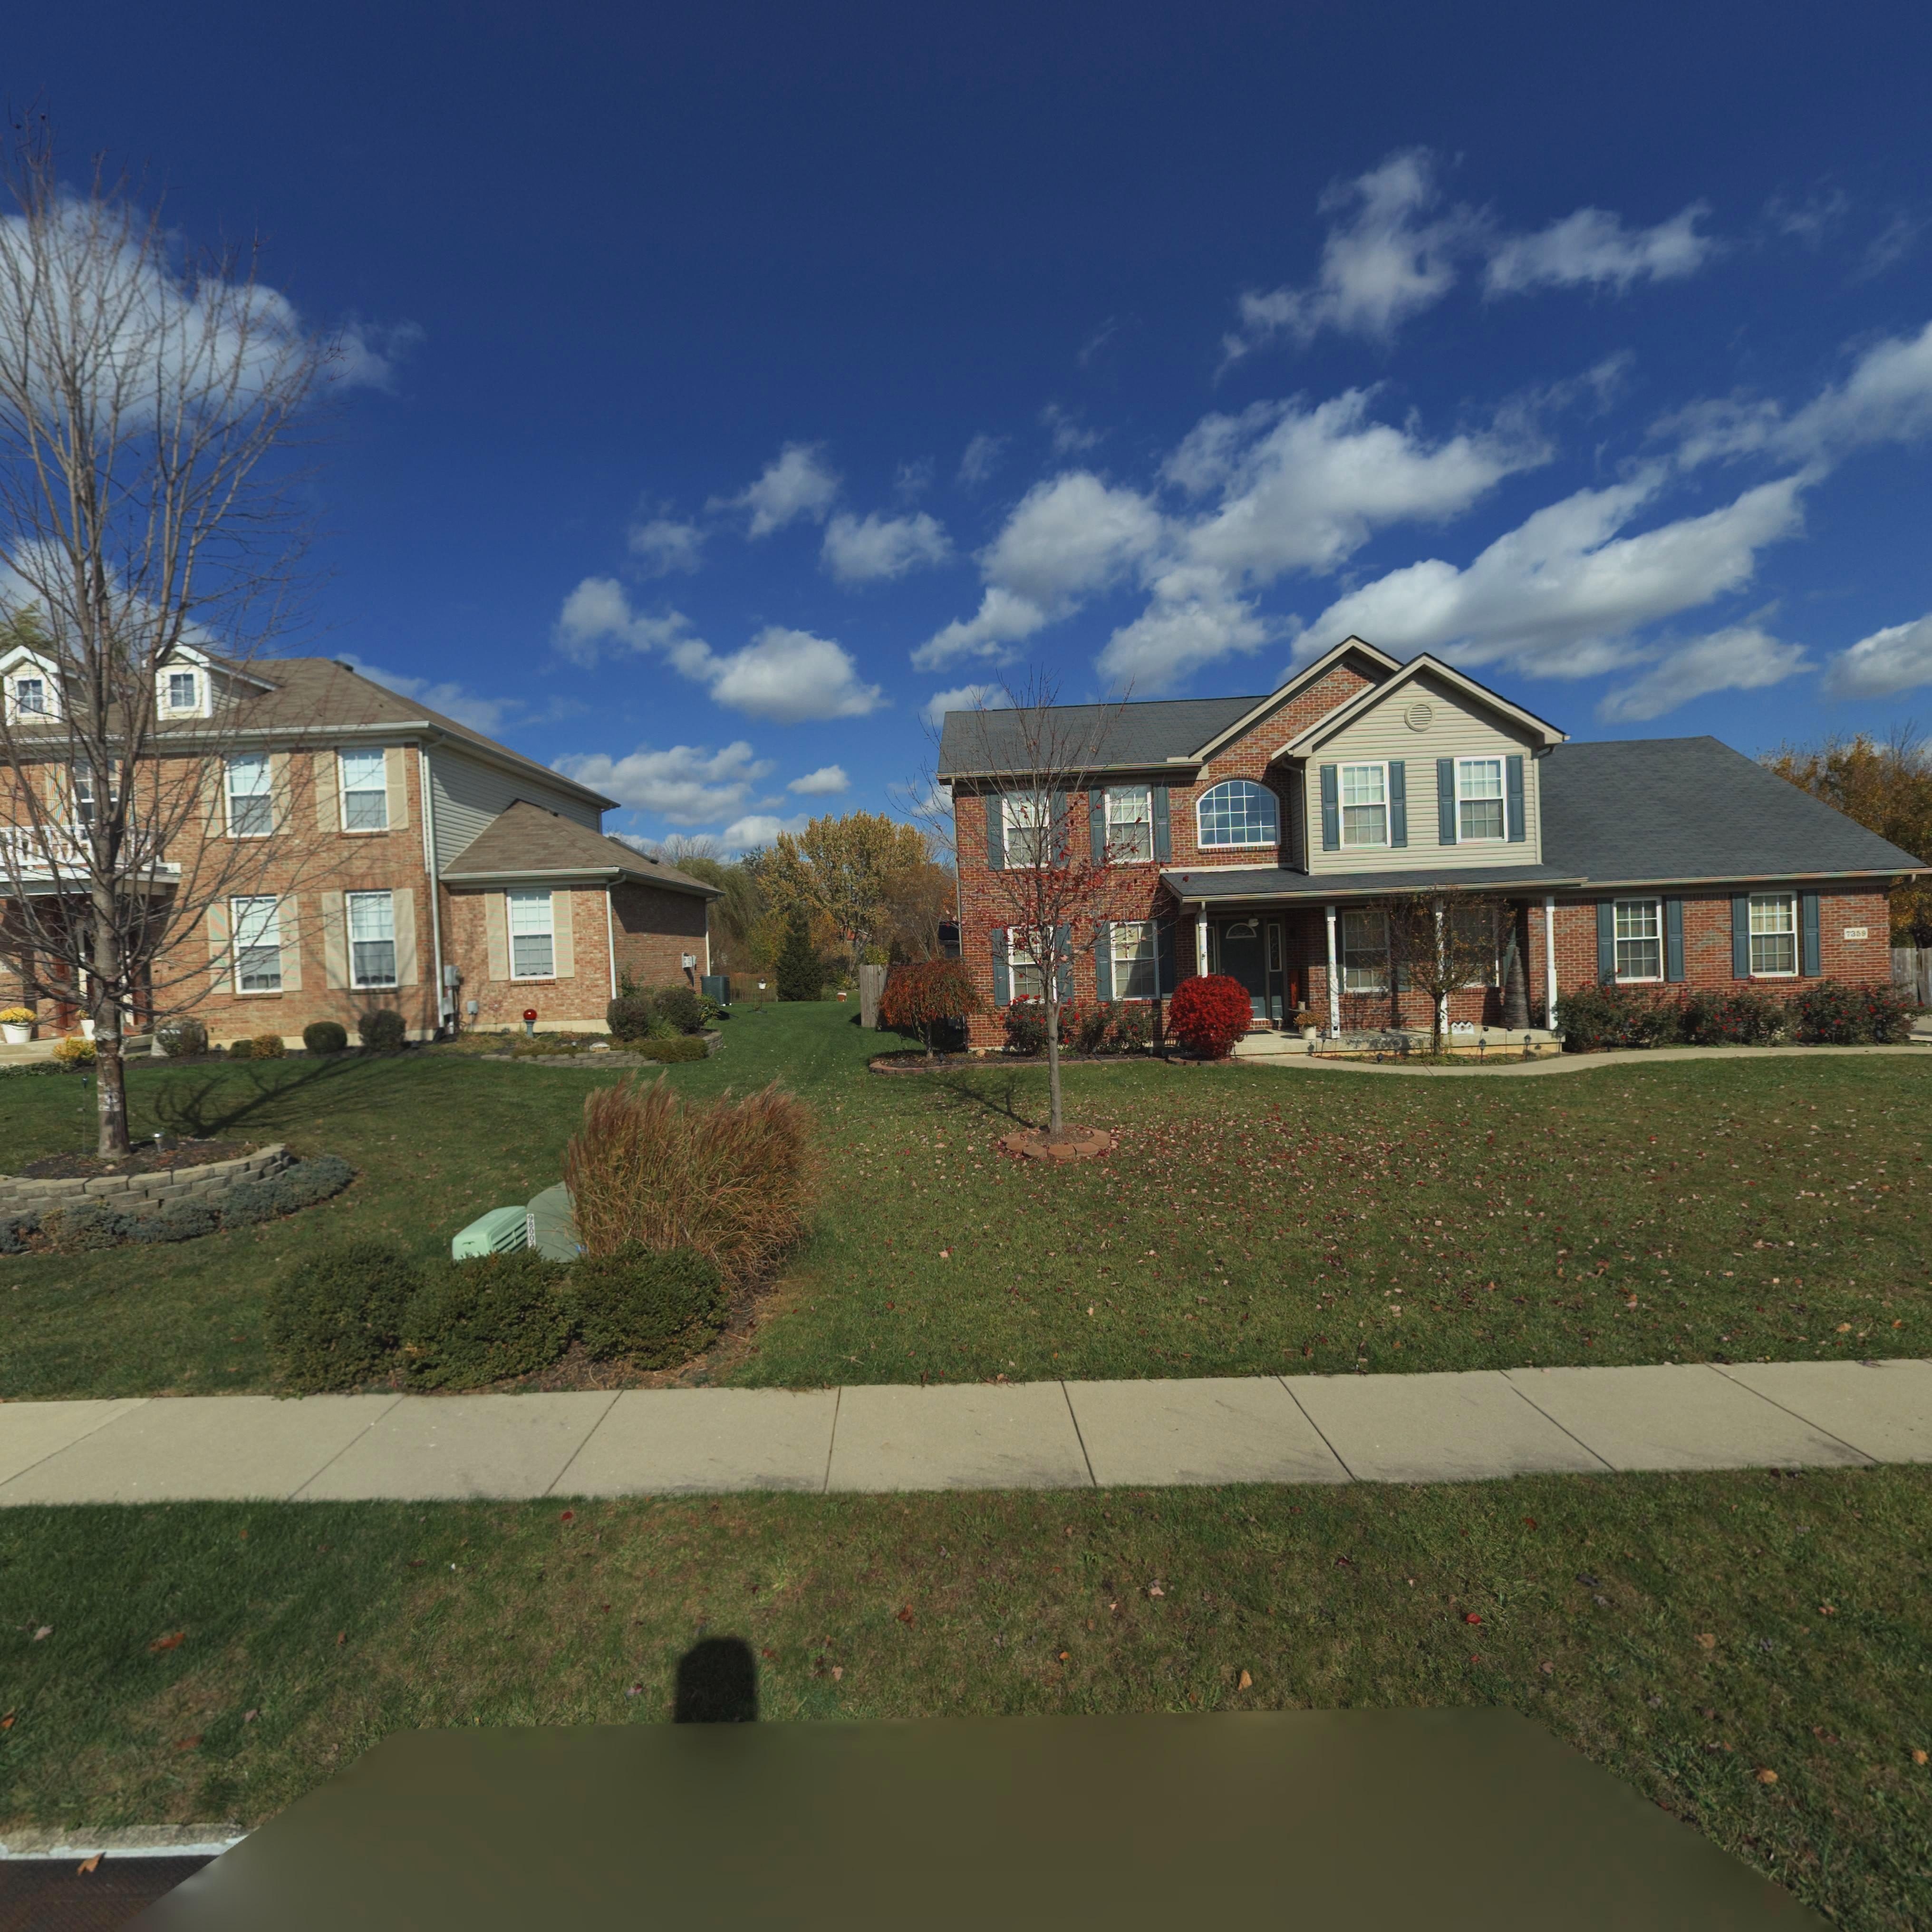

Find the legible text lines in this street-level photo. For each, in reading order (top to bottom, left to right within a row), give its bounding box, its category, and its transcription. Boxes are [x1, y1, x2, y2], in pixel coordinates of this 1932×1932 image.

[1845, 929, 1867, 937] StreetNumber: 7359